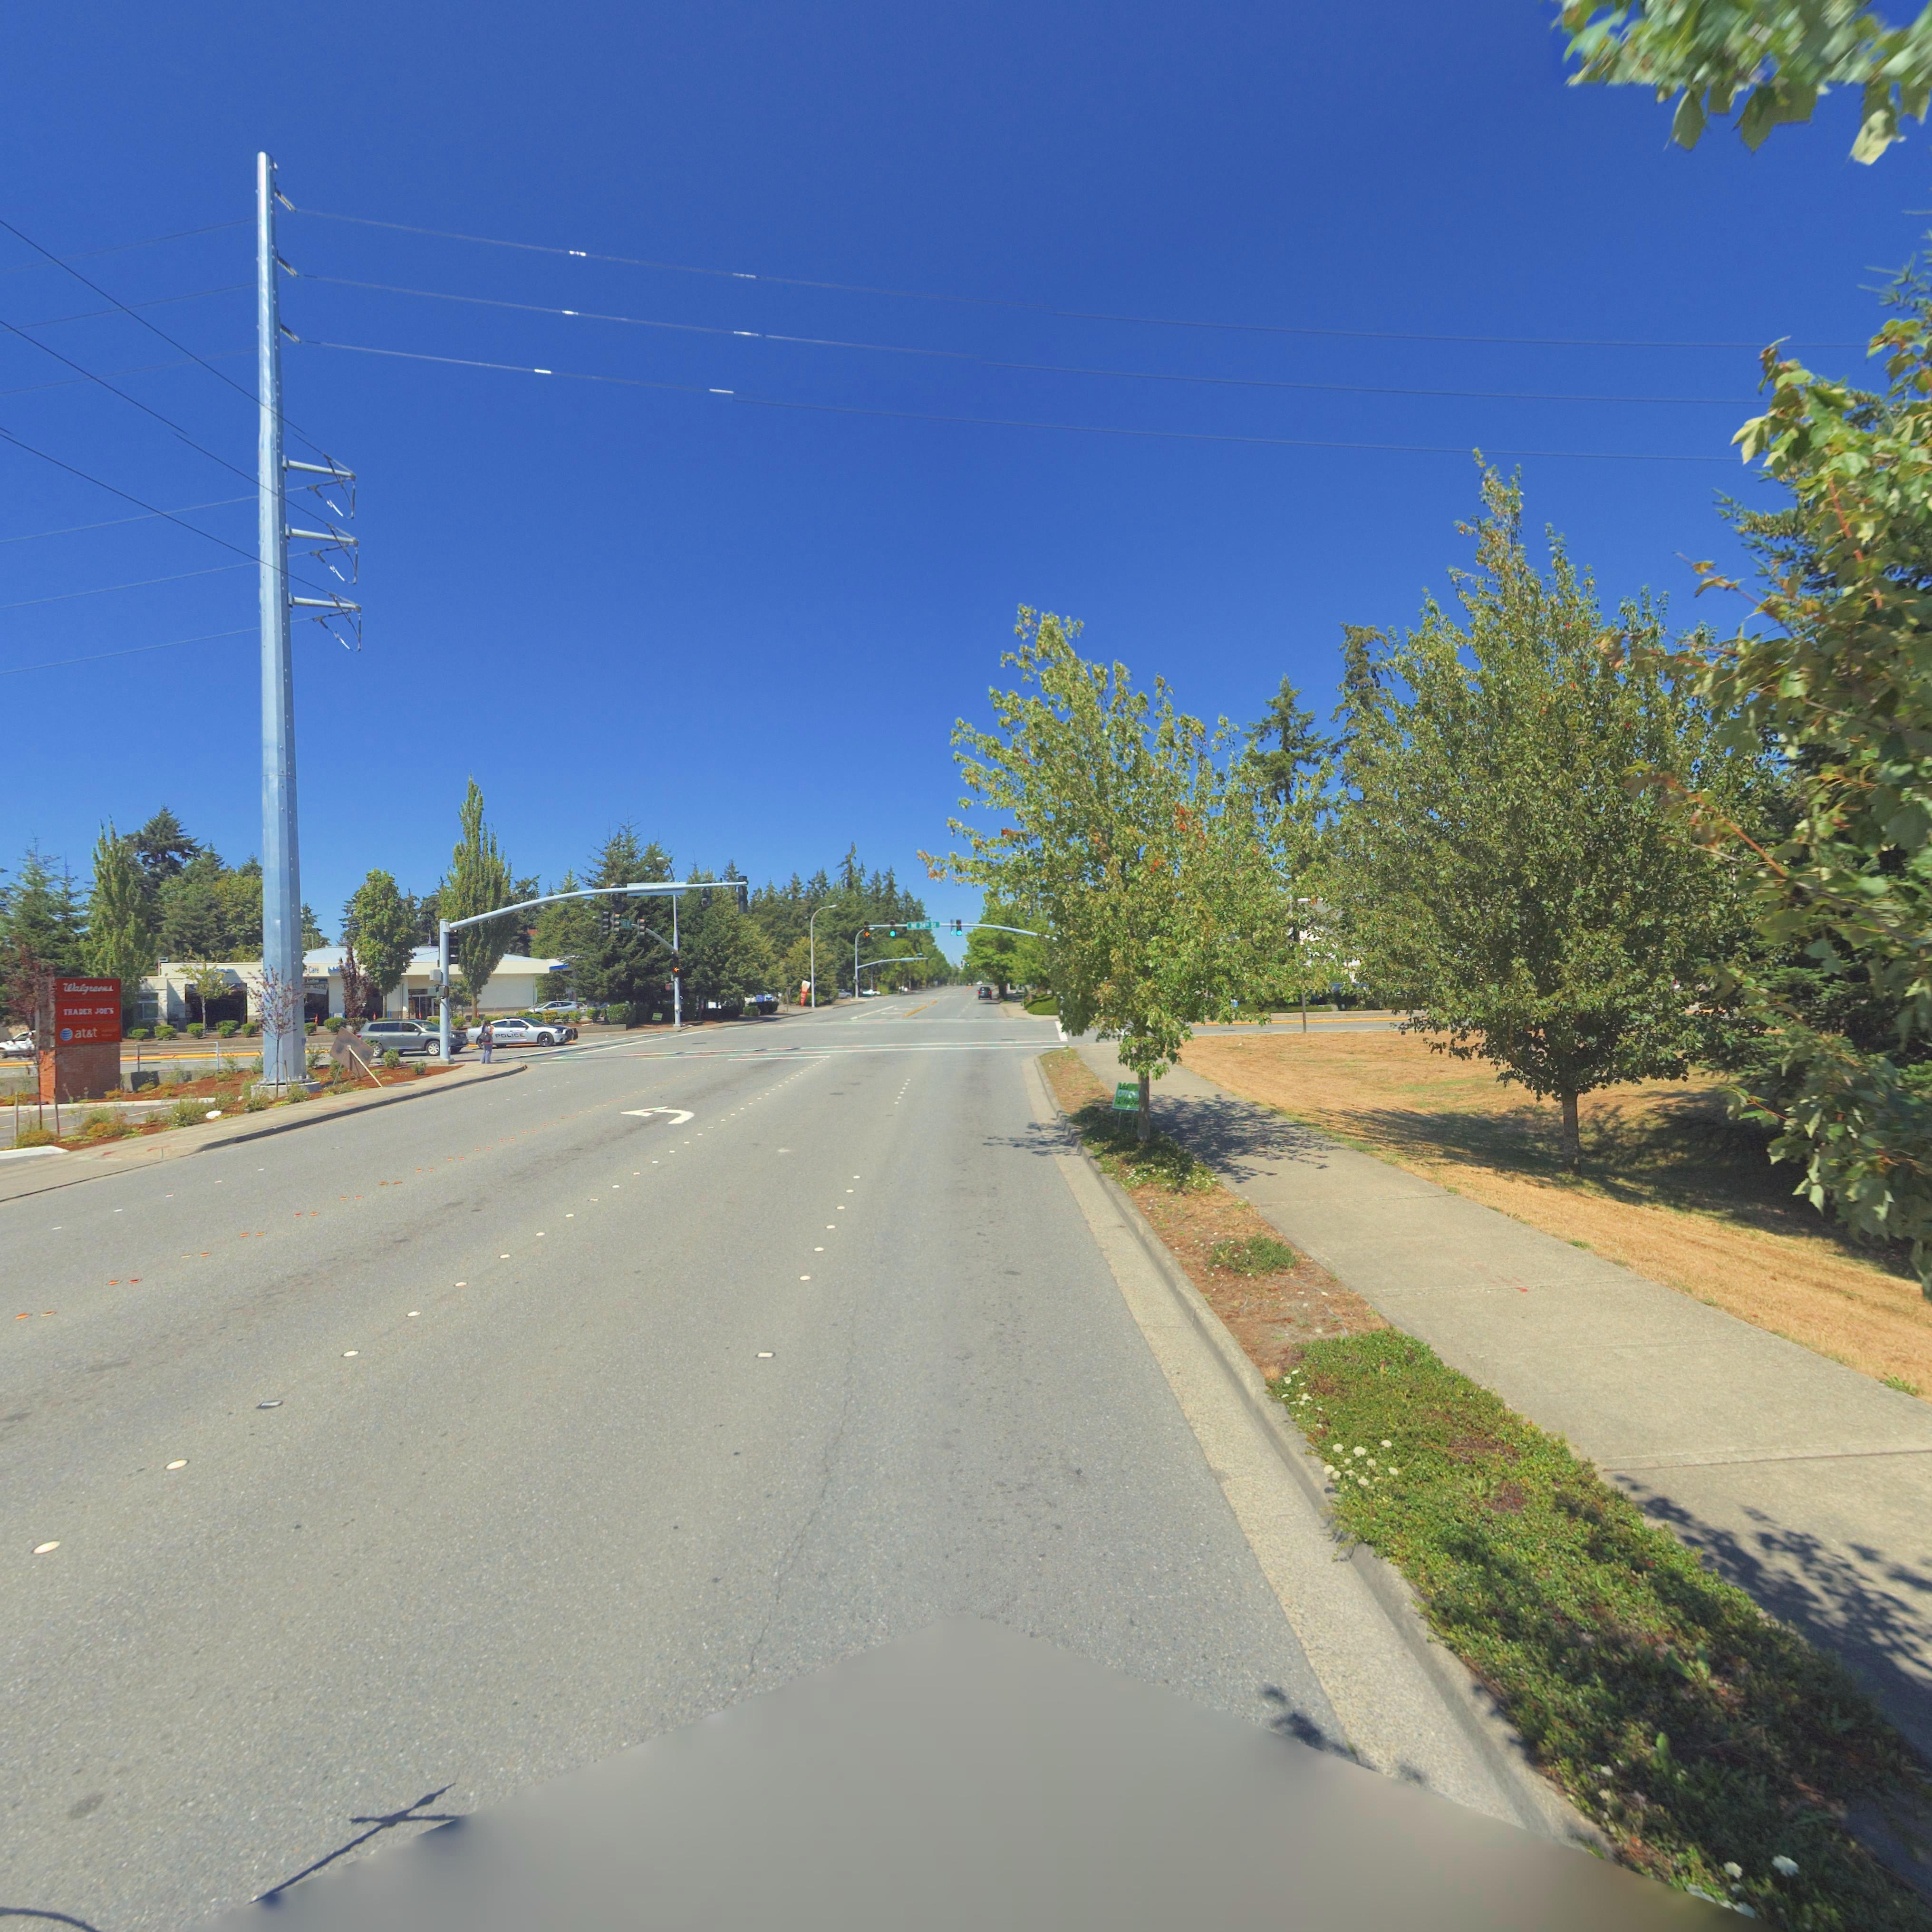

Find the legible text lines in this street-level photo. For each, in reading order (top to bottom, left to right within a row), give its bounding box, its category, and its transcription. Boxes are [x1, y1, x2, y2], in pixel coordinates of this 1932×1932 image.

[910, 922, 936, 928] StreetName: NE 24** St
[62, 982, 115, 995] BusinessName: Walgr***s
[63, 1007, 114, 1015] BusinessName: T*ADER JOE*S
[74, 1027, 97, 1038] BusinessName: at*t